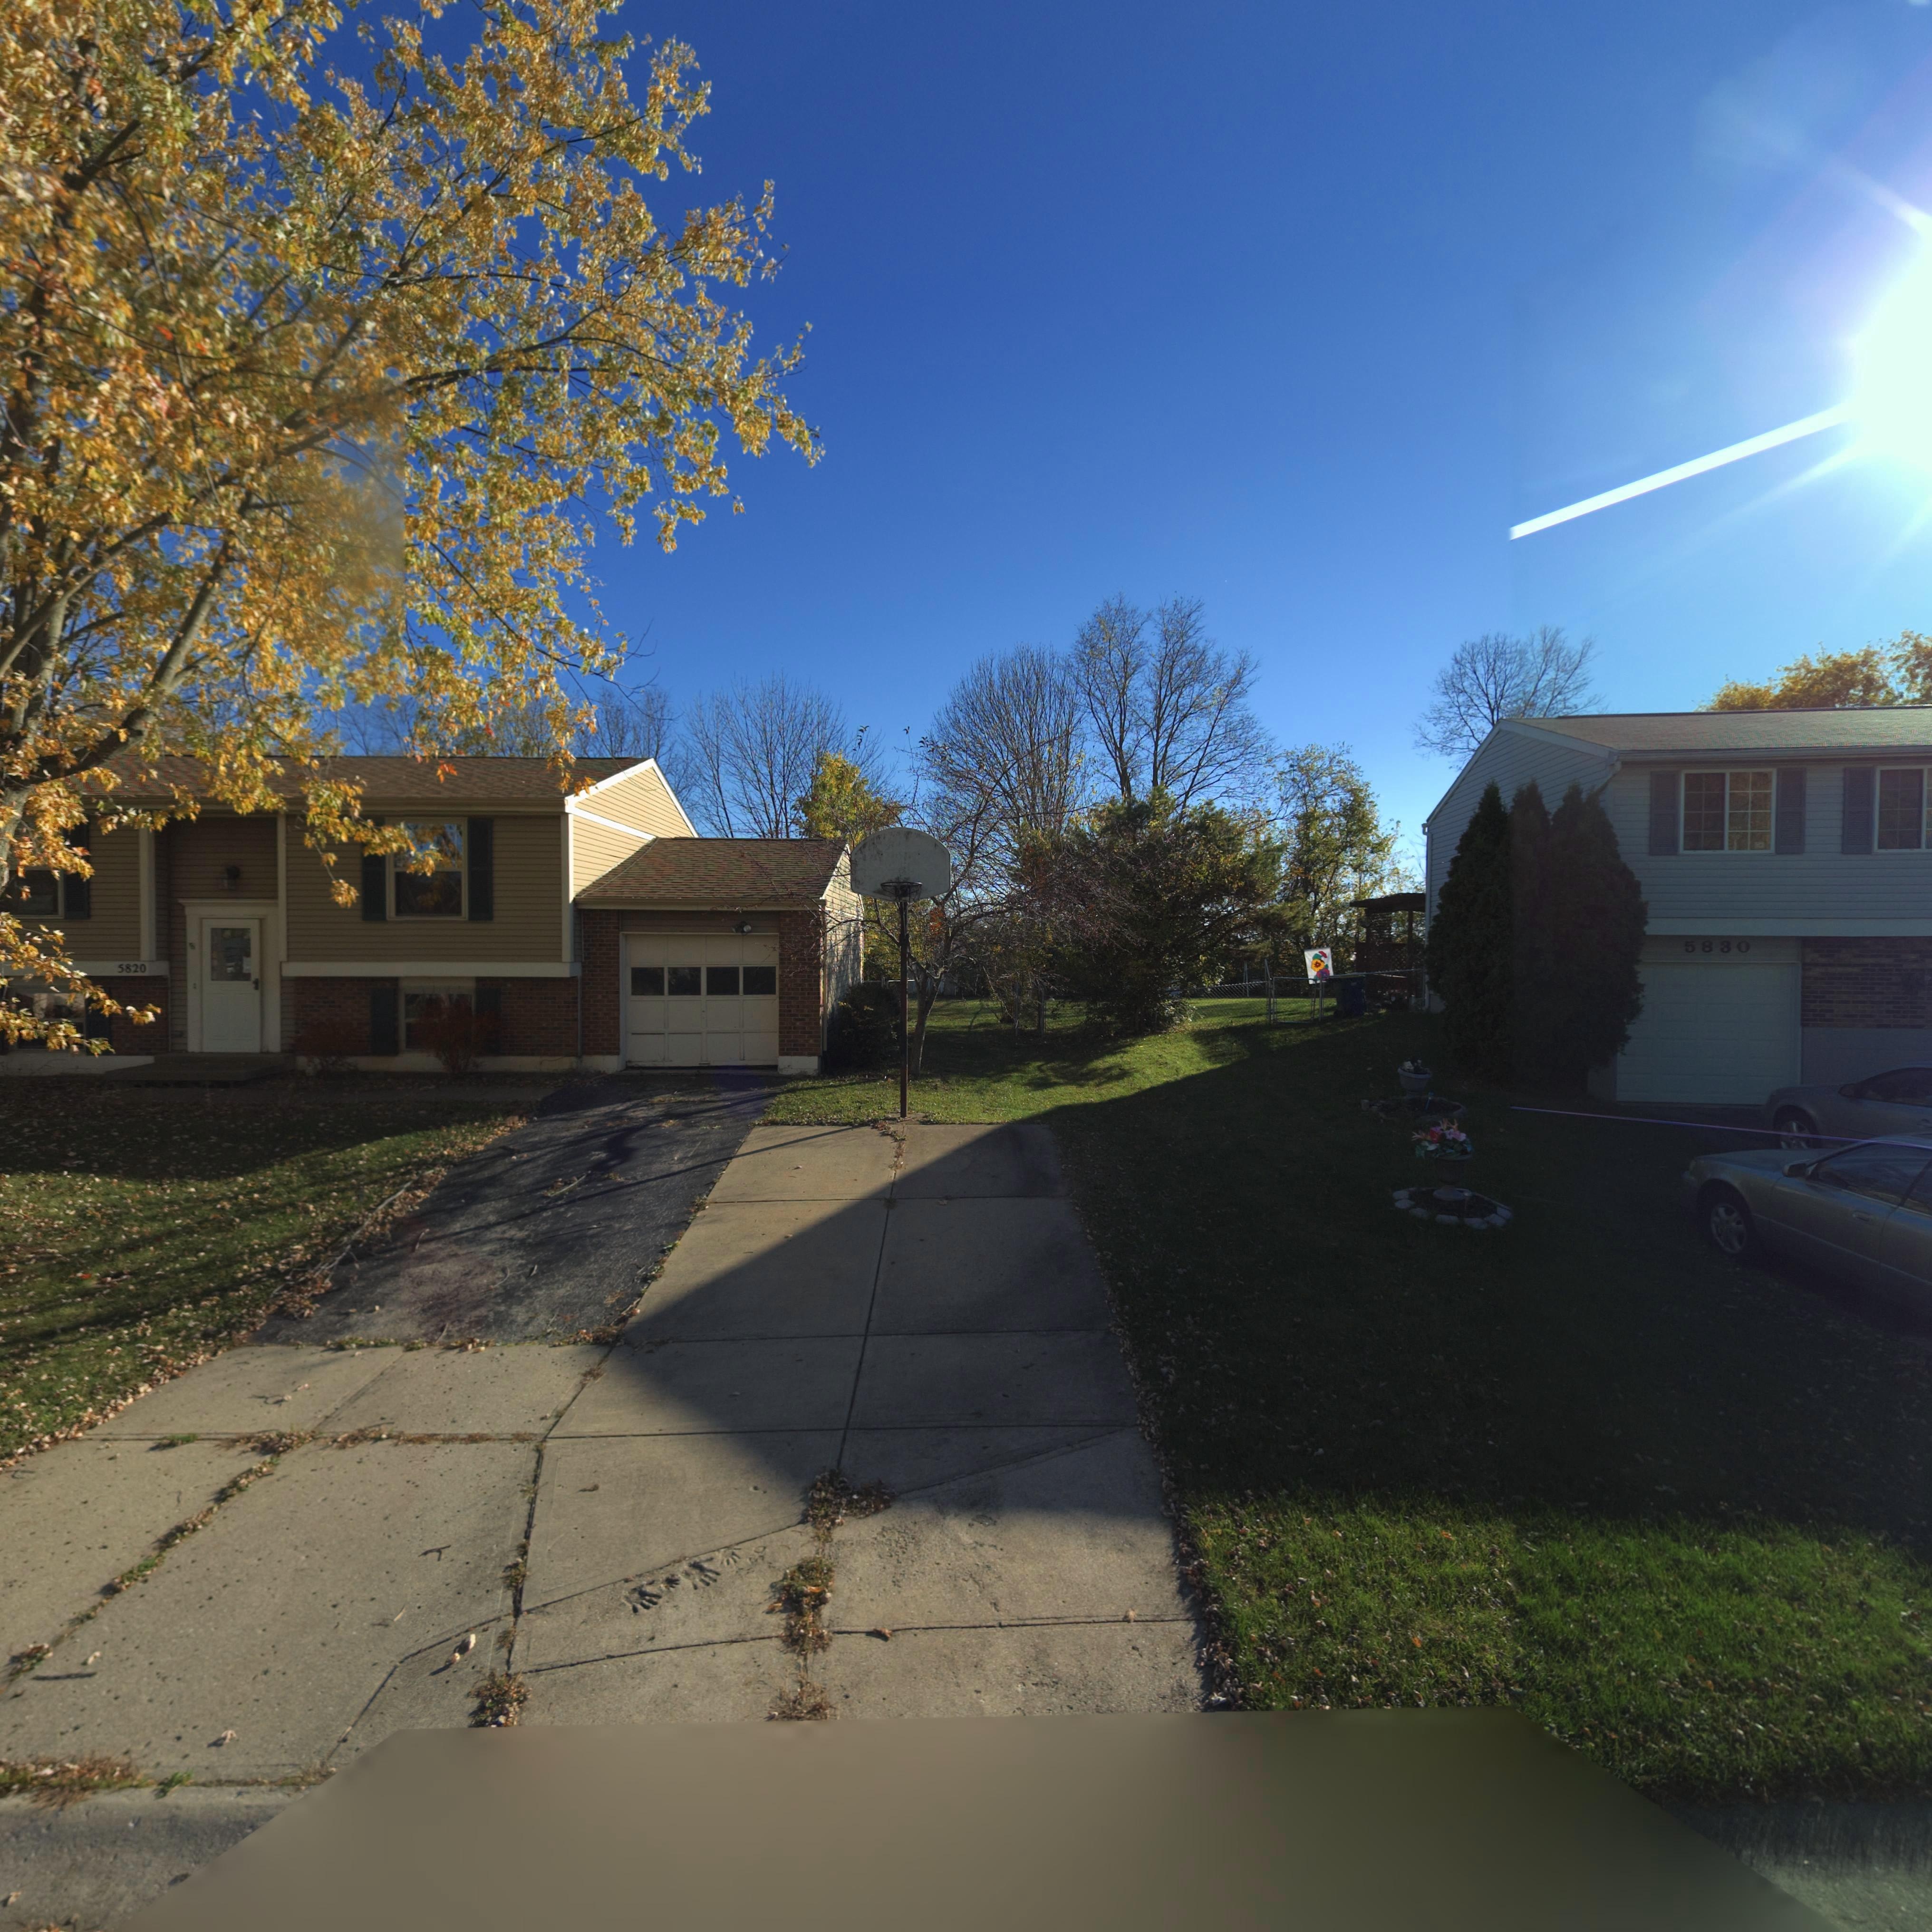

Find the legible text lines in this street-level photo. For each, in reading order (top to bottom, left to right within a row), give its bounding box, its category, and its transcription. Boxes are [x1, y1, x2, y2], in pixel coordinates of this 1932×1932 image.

[1684, 939, 1752, 954] StreetNumber: 5830
[116, 962, 147, 975] StreetNumber: 5820